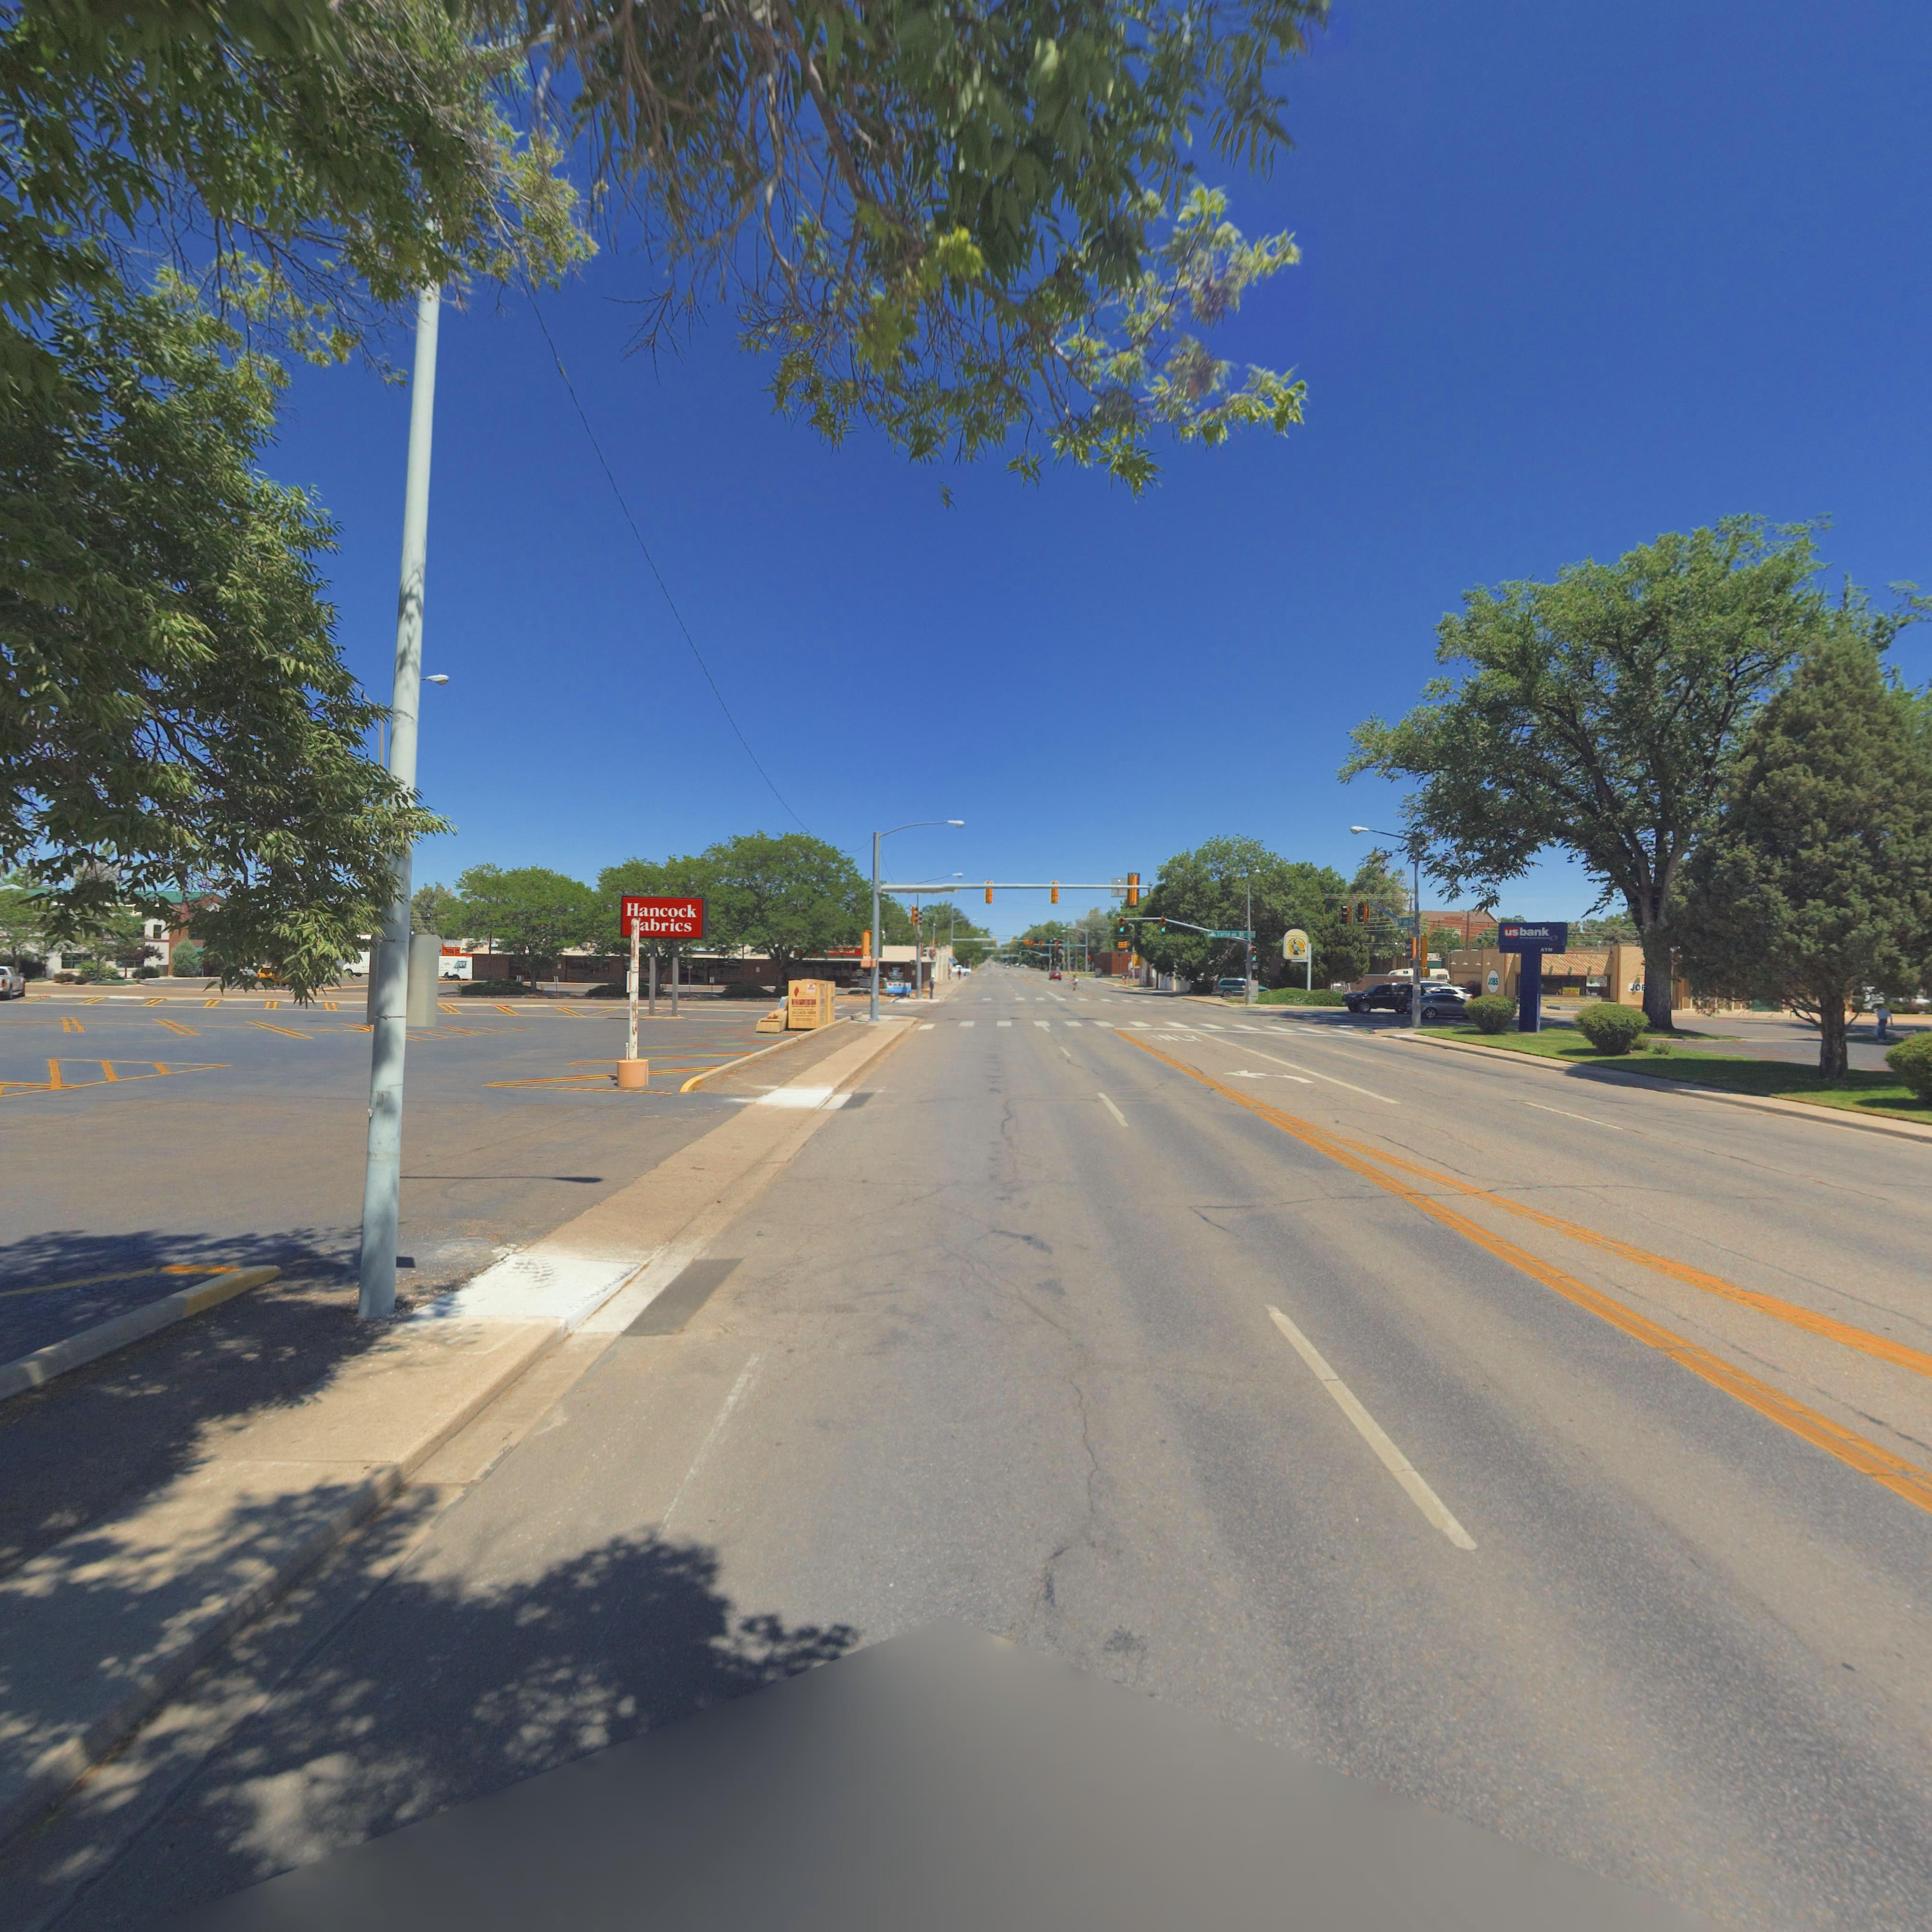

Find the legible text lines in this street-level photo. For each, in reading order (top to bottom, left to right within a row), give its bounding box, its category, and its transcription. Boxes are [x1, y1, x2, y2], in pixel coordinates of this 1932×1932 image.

[626, 902, 697, 918] BusinessName: Hancock
[639, 918, 692, 932] BusinessName: abrics
[1398, 918, 1408, 926] StreetName: 9th Ave
[1217, 931, 1244, 937] StreetName: Coffman St
[1504, 927, 1549, 936] BusinessName: usbank
[1286, 937, 1306, 946] BusinessName: LABOR SYSTEMS
[844, 948, 855, 953] BusinessName: *nk